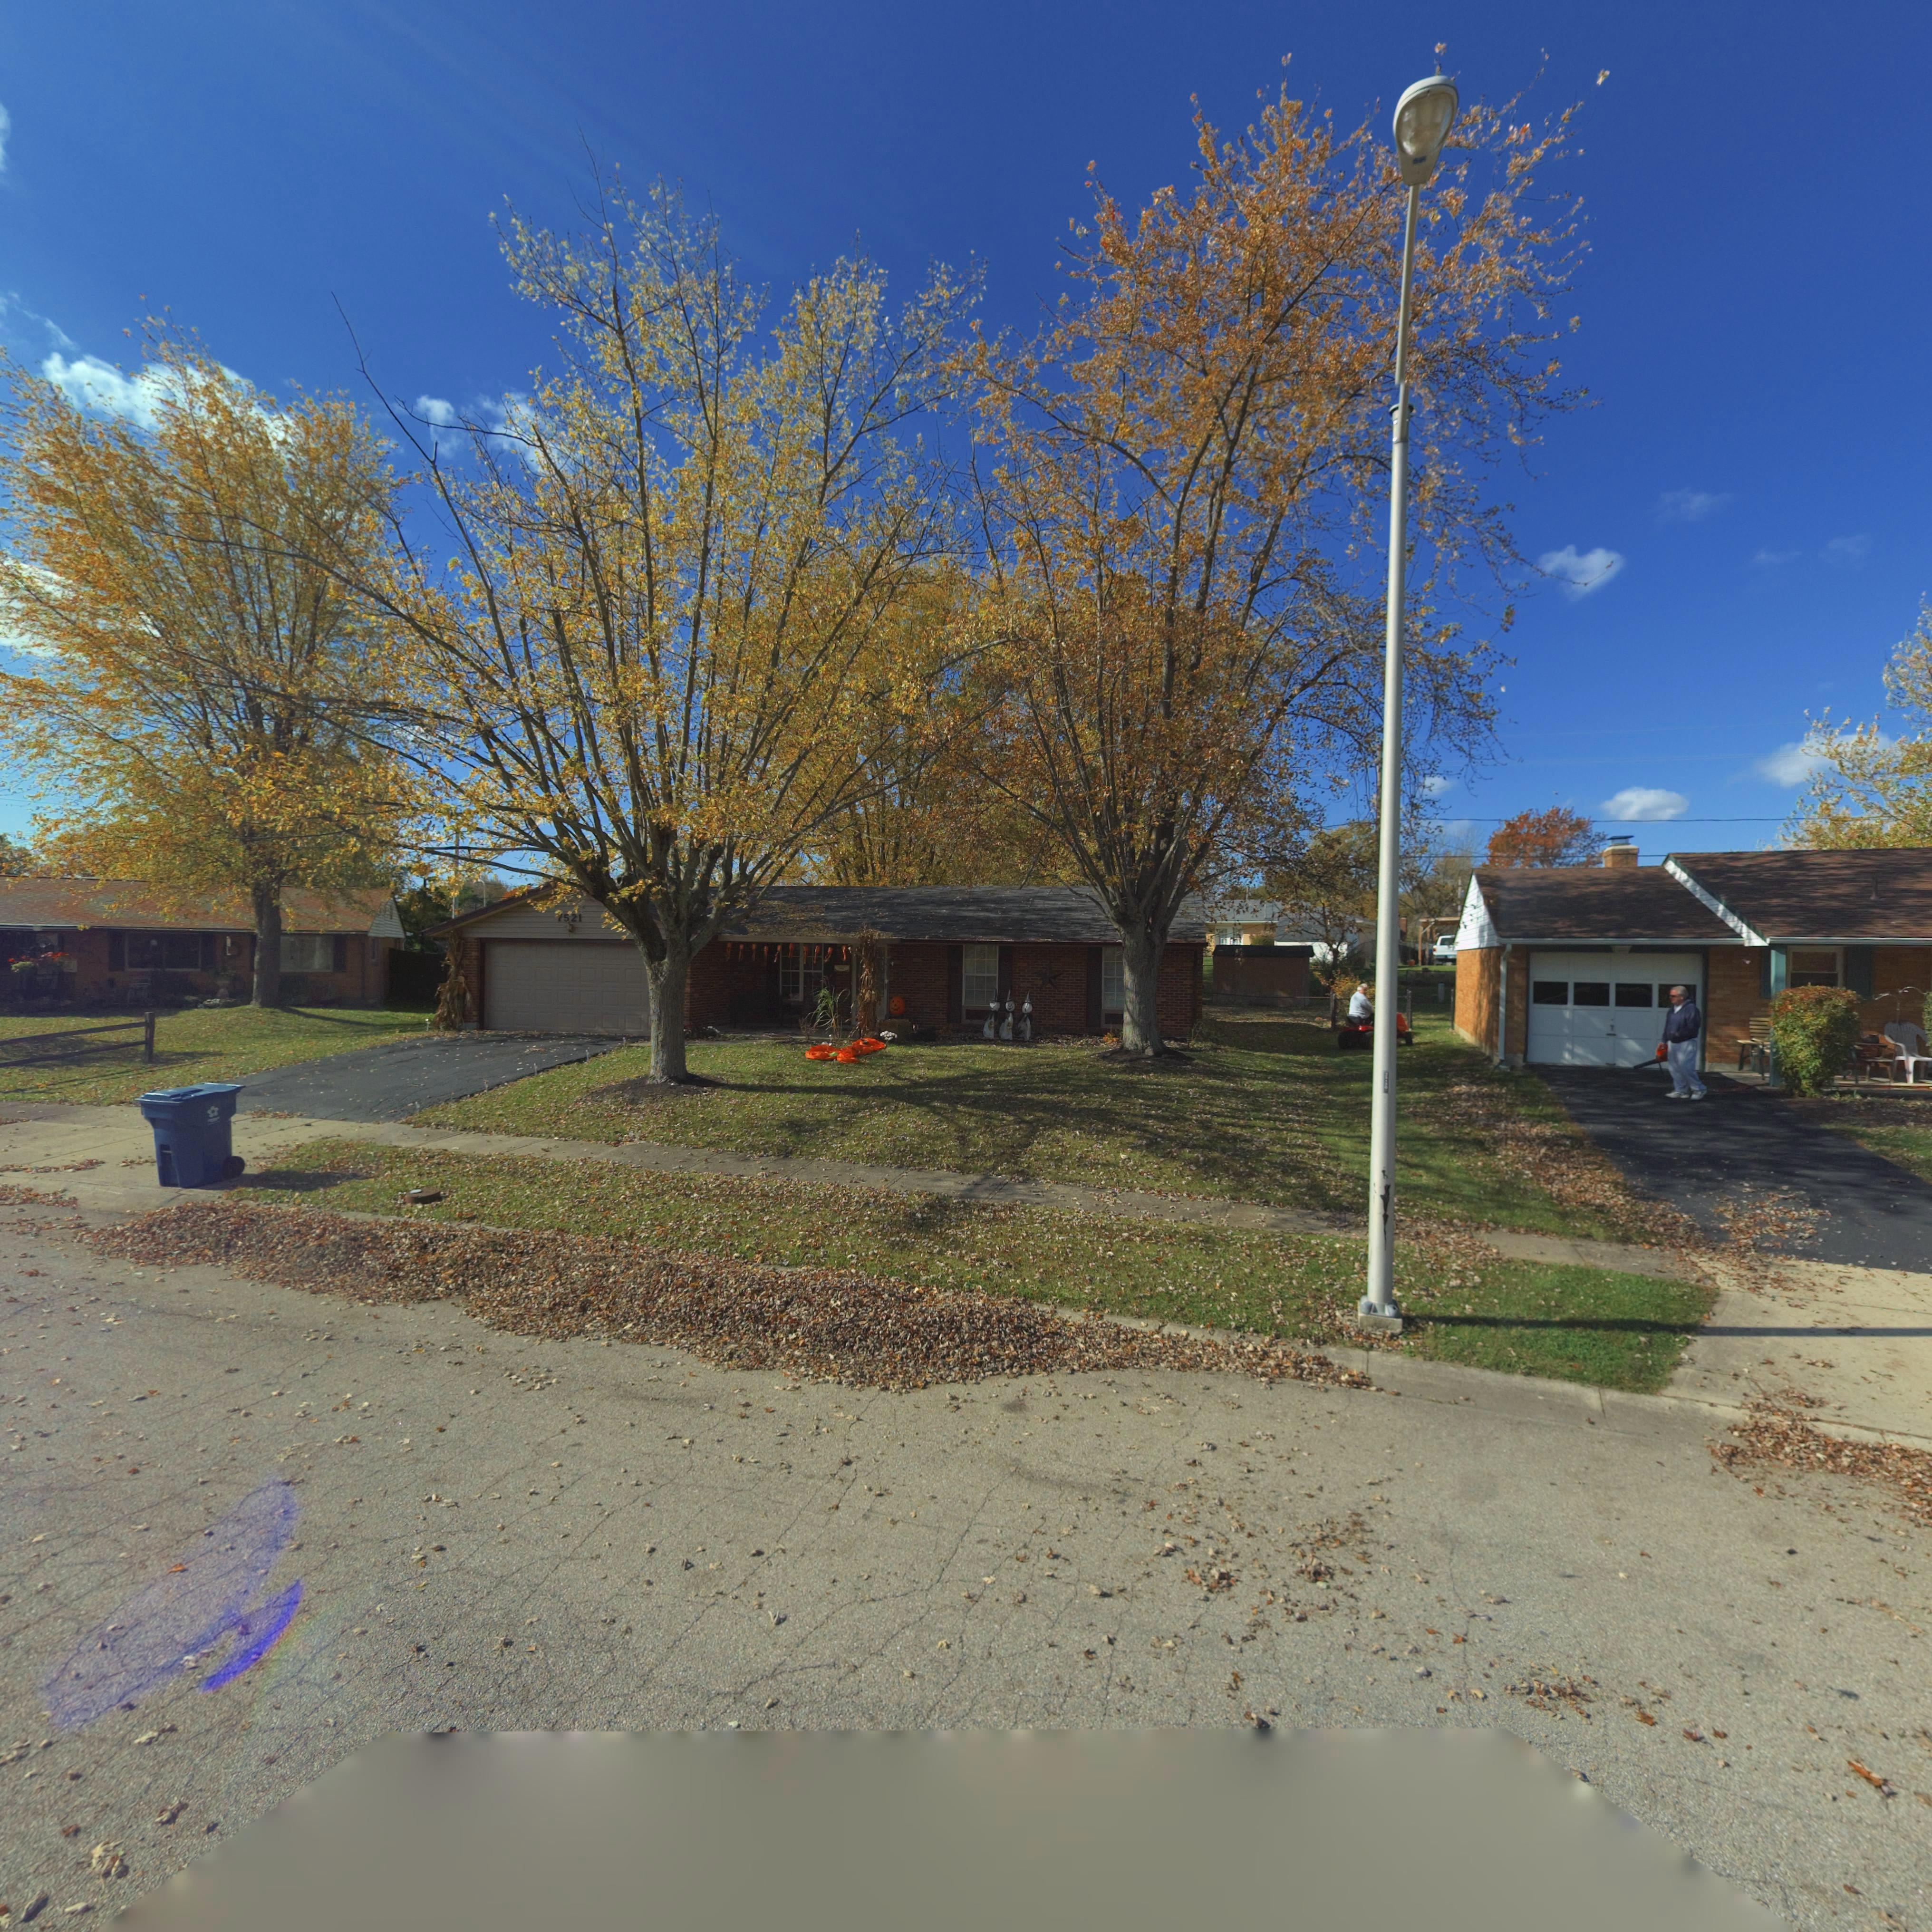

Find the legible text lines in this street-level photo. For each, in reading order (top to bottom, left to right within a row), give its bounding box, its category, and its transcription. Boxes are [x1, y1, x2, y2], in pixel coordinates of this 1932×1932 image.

[556, 912, 583, 924] StreetNumber: *521